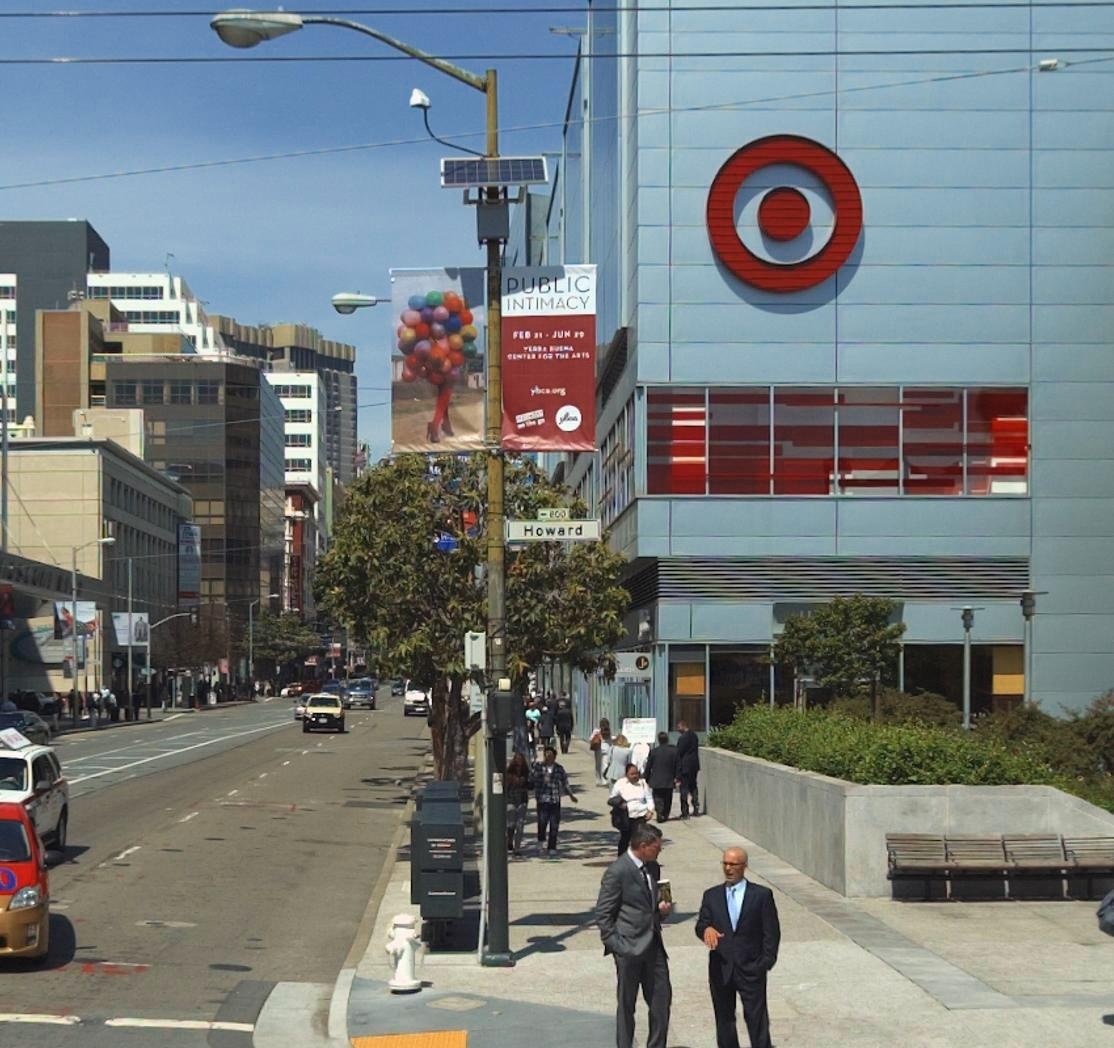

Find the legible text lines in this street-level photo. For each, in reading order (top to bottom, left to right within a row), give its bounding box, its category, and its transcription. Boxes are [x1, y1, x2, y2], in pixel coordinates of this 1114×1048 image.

[506, 274, 591, 295] None: PUBLIC
[506, 295, 590, 311] None: INTIMACY
[511, 330, 586, 339] None: FEB**-JUN**
[539, 510, 566, 519] StreetNumberRange: <-800
[522, 524, 584, 537] StreetName: Howard